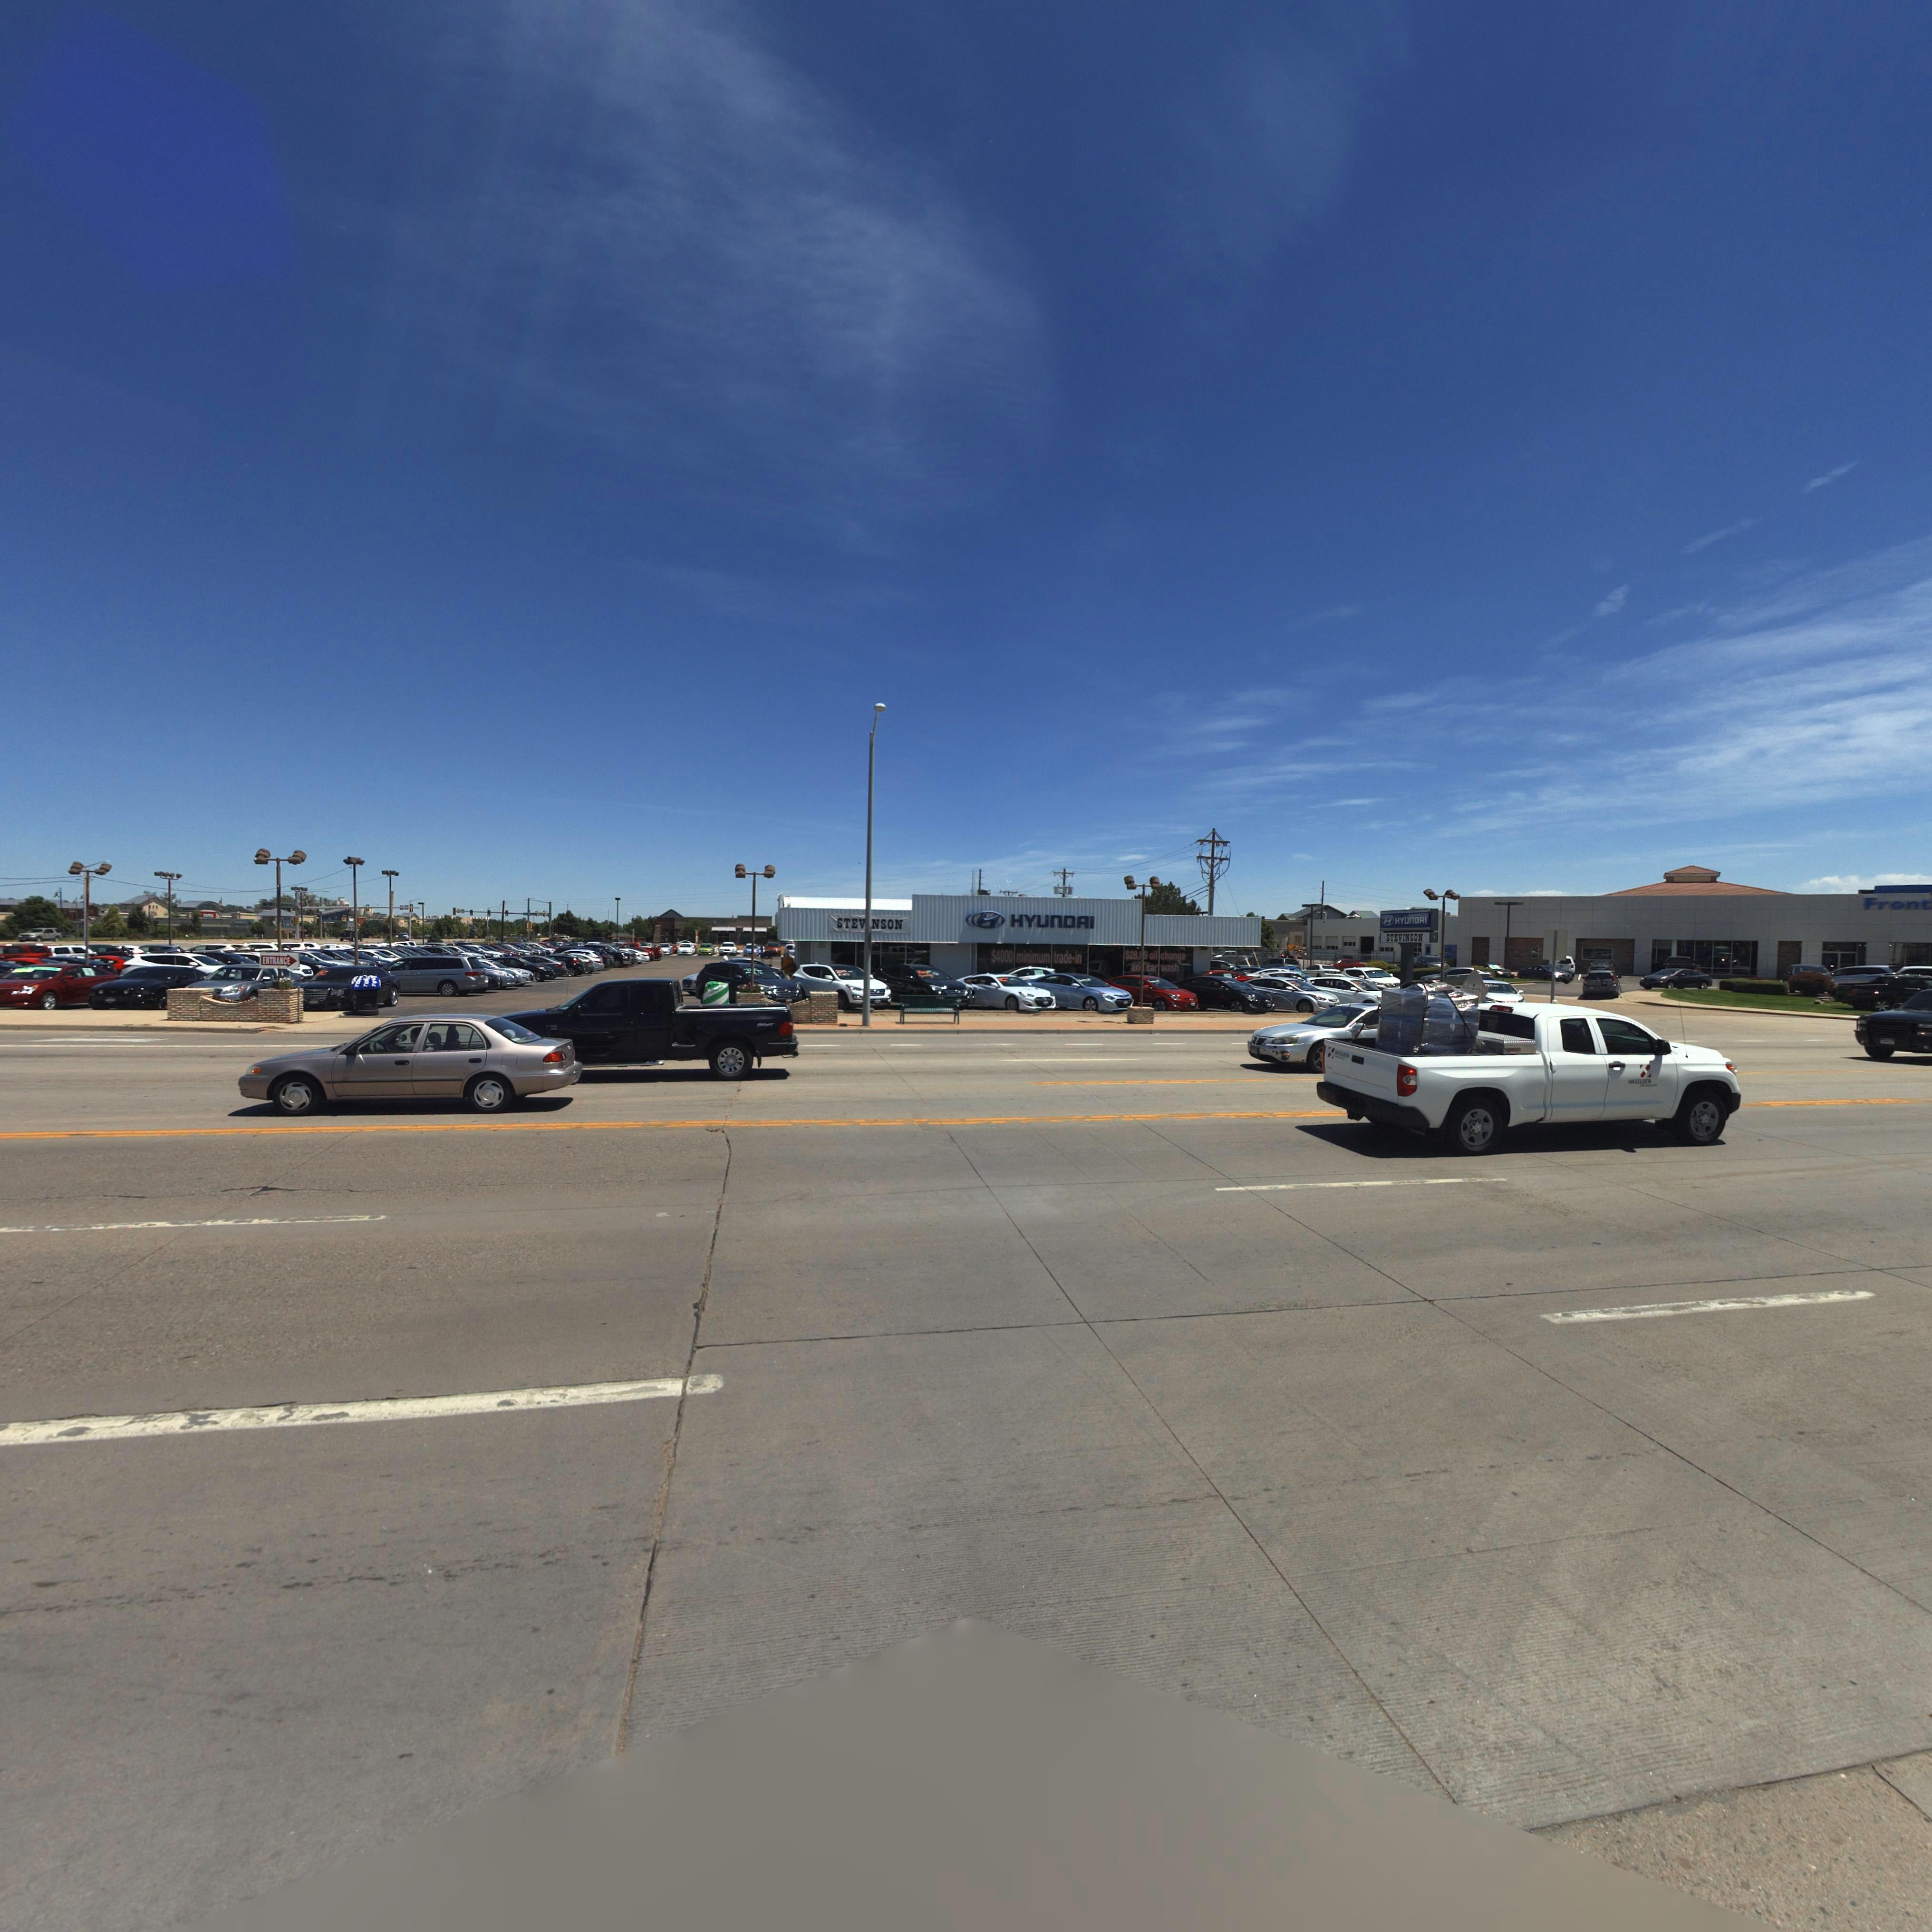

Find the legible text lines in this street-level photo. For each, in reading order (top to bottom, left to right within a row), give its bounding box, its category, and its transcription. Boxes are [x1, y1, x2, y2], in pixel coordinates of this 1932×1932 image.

[1864, 897, 1930, 910] BusinessName: Front
[837, 917, 903, 929] BusinessName: STEV*NSON
[1010, 913, 1095, 929] BusinessName: HYUnDAI
[1395, 916, 1427, 924] BusinessName: HYUnDAI
[1386, 933, 1423, 942] BusinessName: STEVINSON